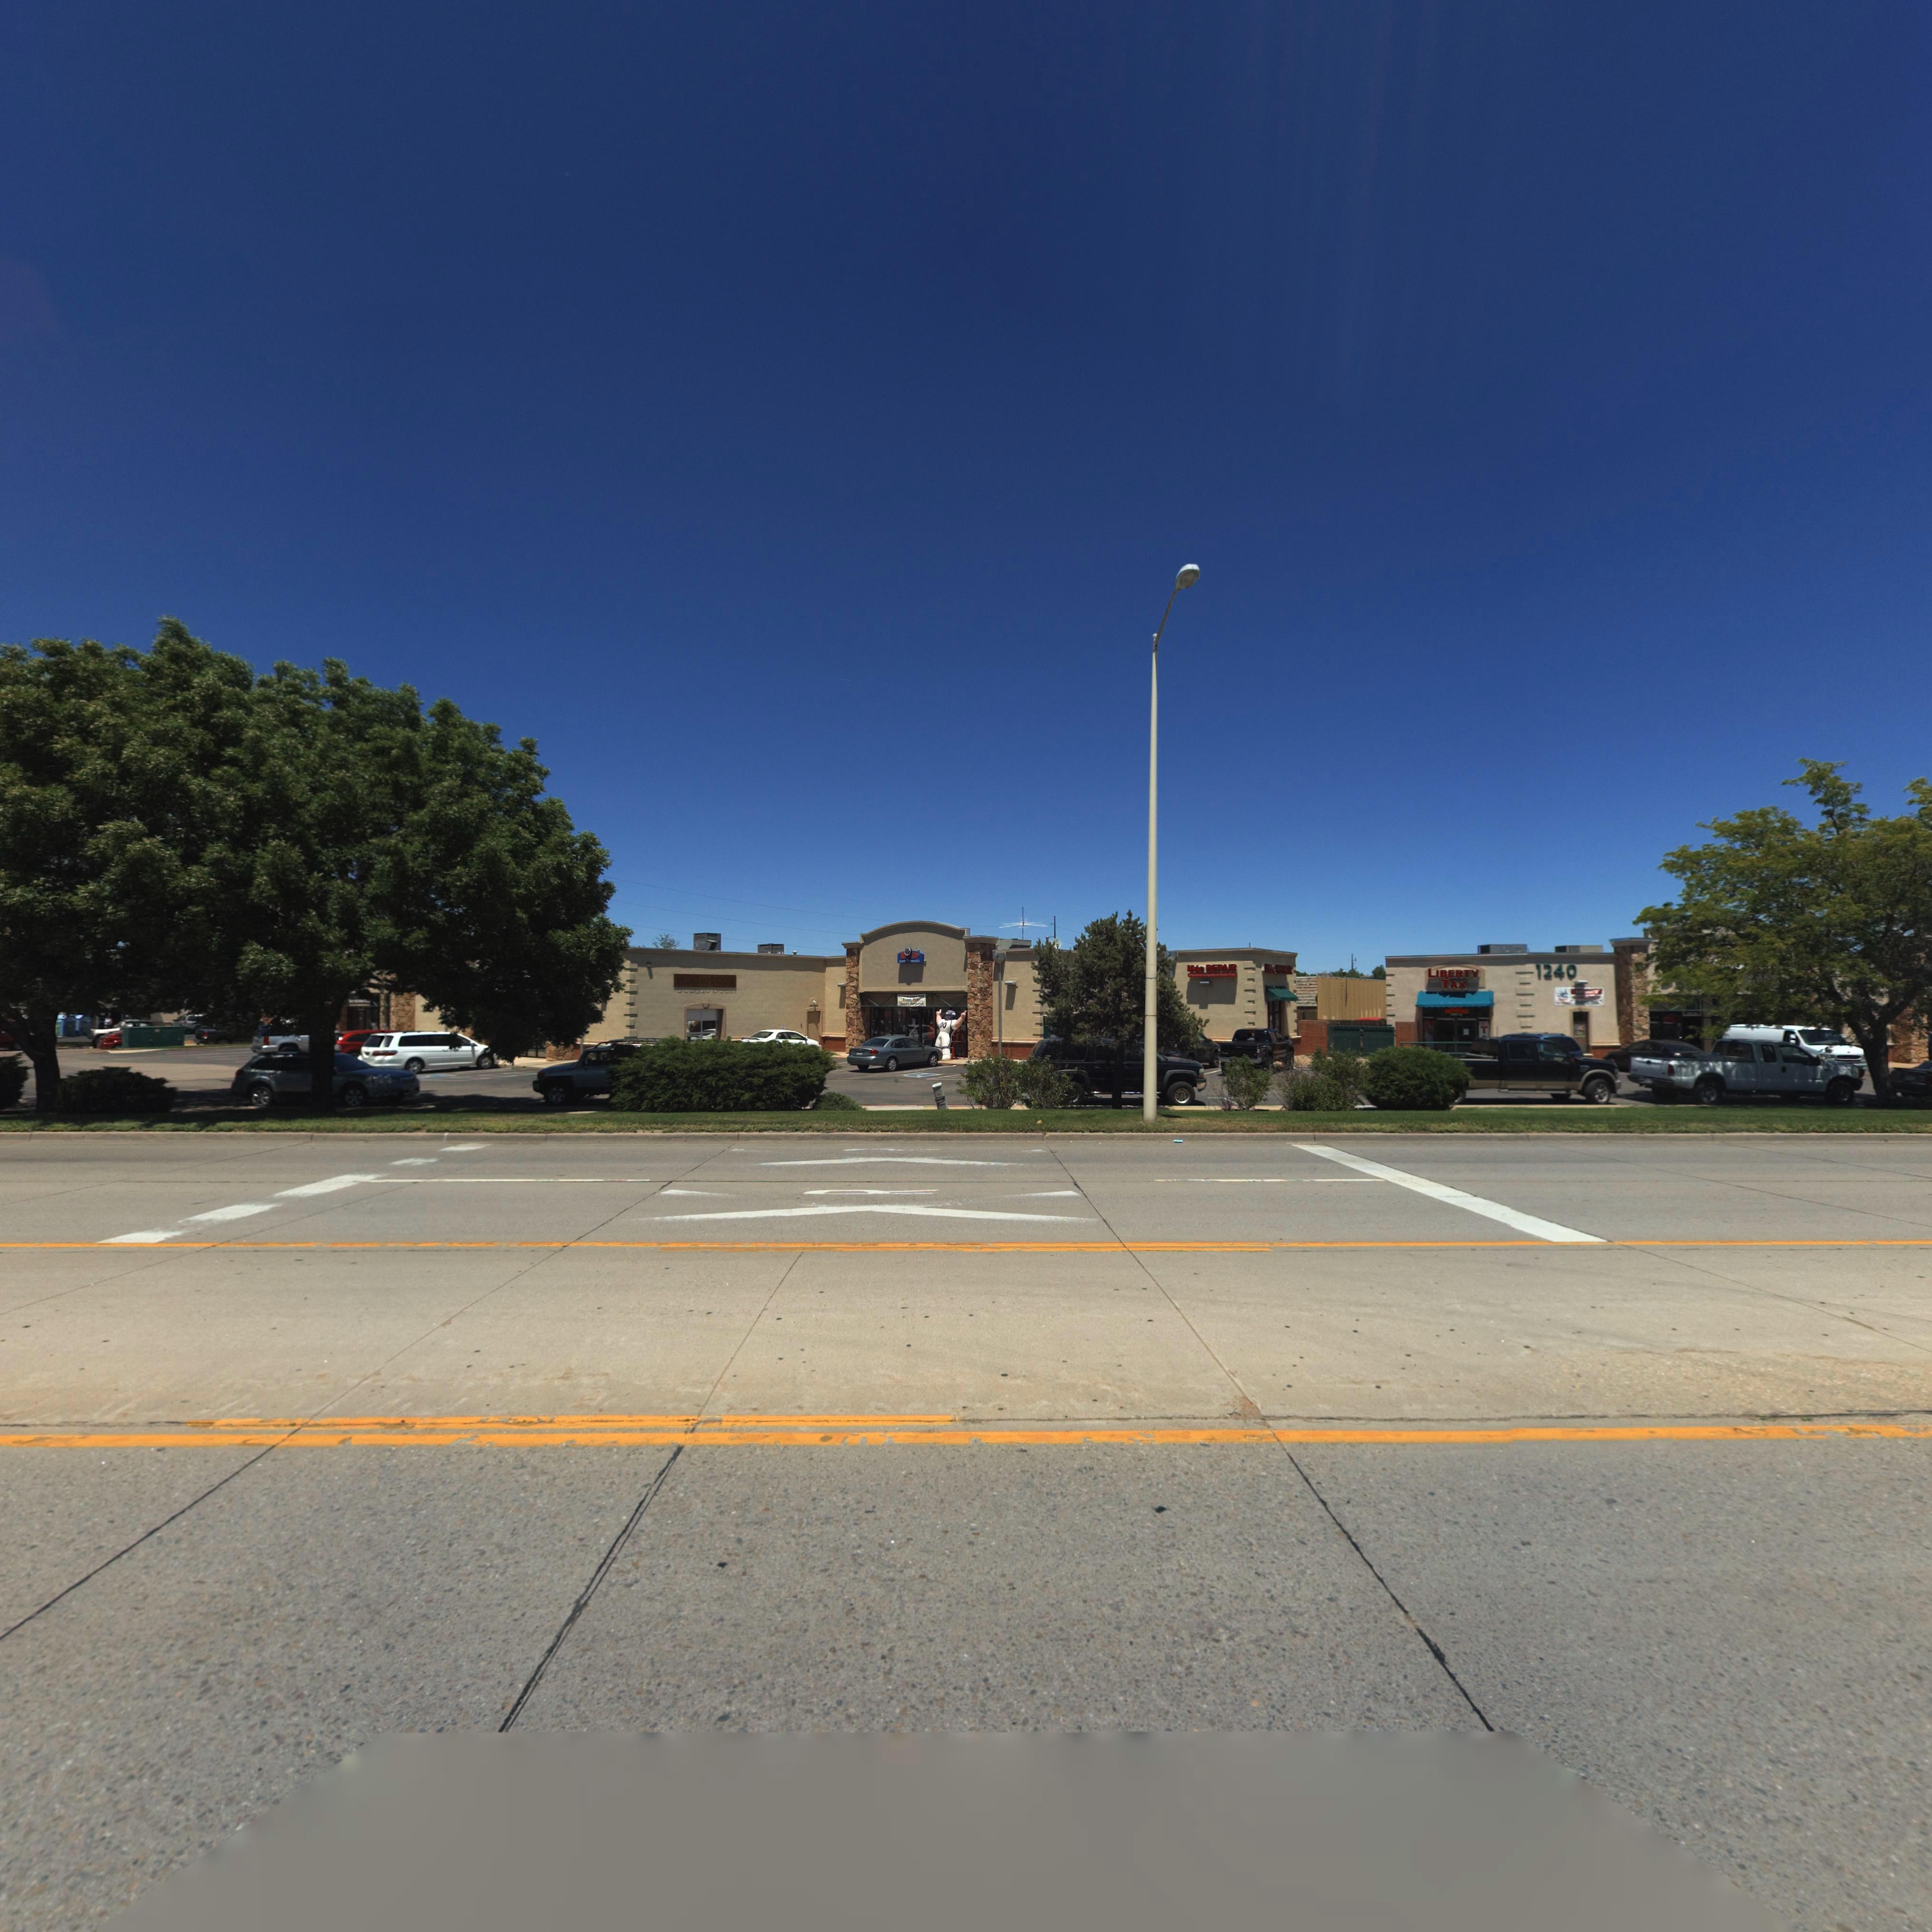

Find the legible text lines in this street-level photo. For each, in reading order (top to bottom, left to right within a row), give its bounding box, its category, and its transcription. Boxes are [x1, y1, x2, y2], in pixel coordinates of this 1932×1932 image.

[1186, 963, 1238, 972] BusinessName: M** REPAIR
[1427, 967, 1480, 978] BusinessName: LIBERTY
[1535, 962, 1578, 977] StreetNumber: 1240
[1439, 978, 1468, 989] BusinessName: TAX